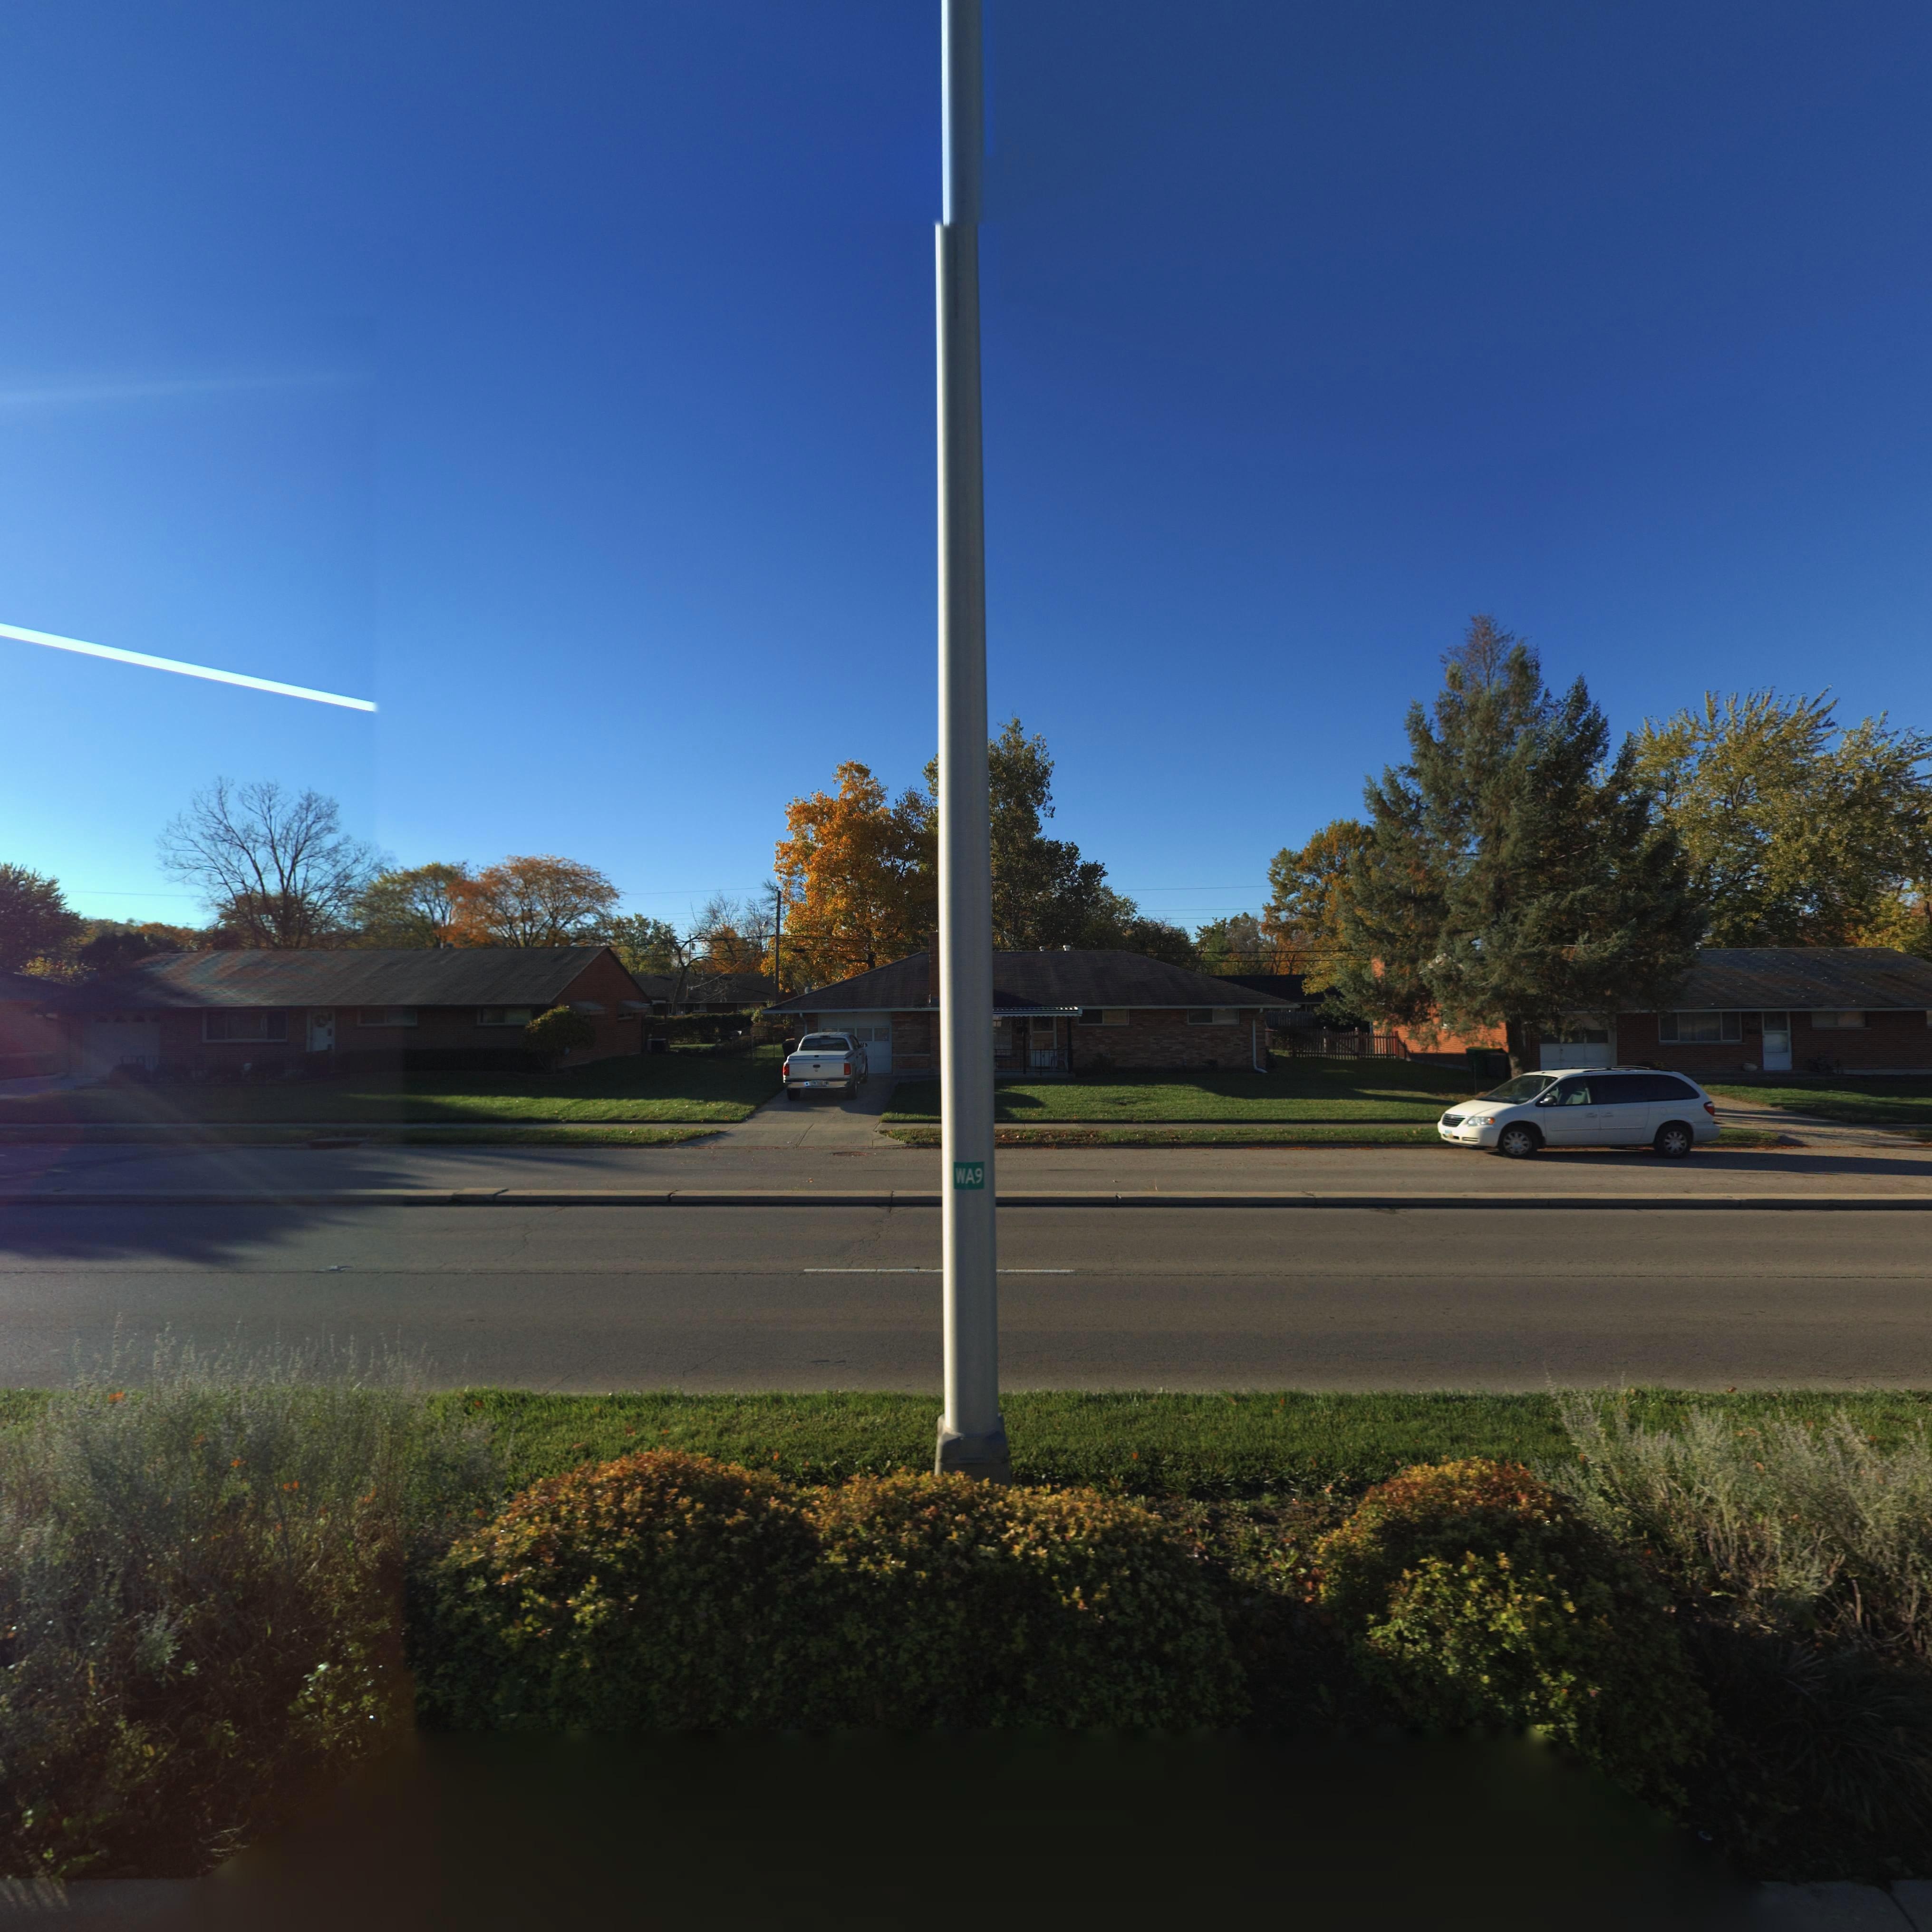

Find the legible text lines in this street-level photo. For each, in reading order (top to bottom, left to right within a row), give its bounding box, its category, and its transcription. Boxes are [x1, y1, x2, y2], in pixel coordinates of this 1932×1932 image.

[1014, 1019, 1023, 1025] StreetNumber: 21*
[954, 1167, 983, 1184] None: WA9